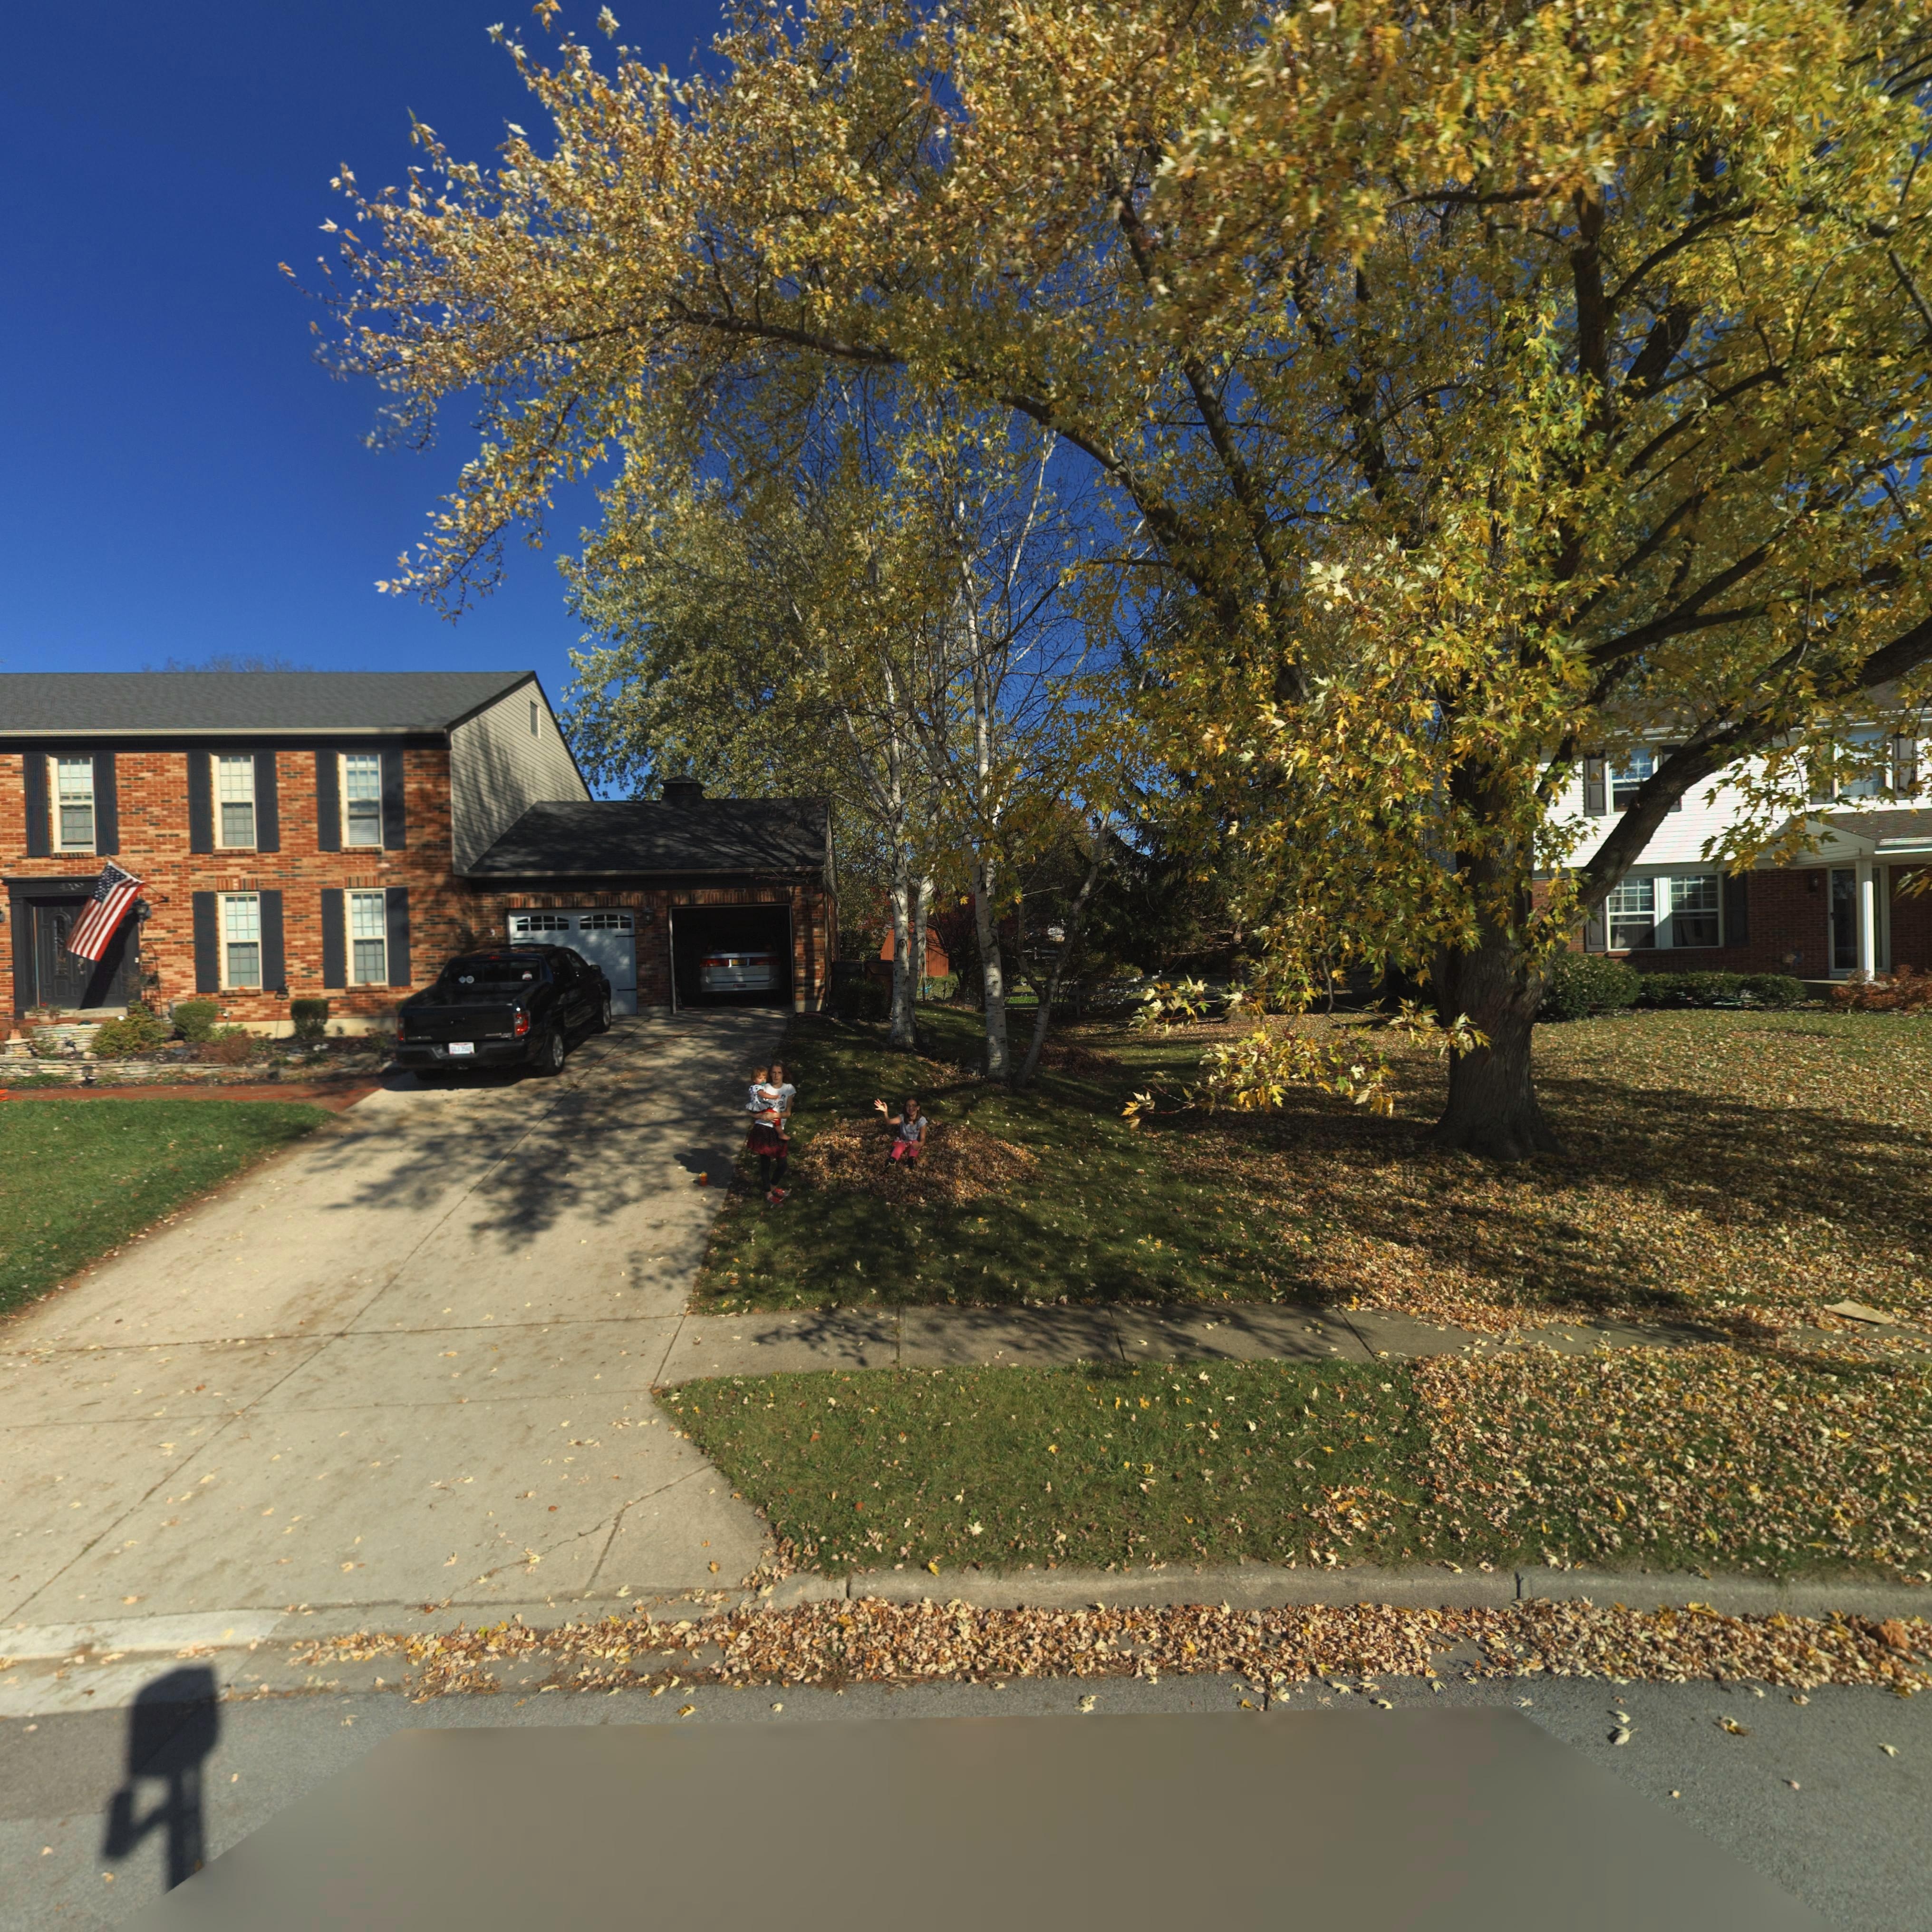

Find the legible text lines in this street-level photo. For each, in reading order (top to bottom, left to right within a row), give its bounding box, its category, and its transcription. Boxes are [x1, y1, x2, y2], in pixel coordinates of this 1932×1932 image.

[58, 880, 86, 892] StreetNumber: 4*09